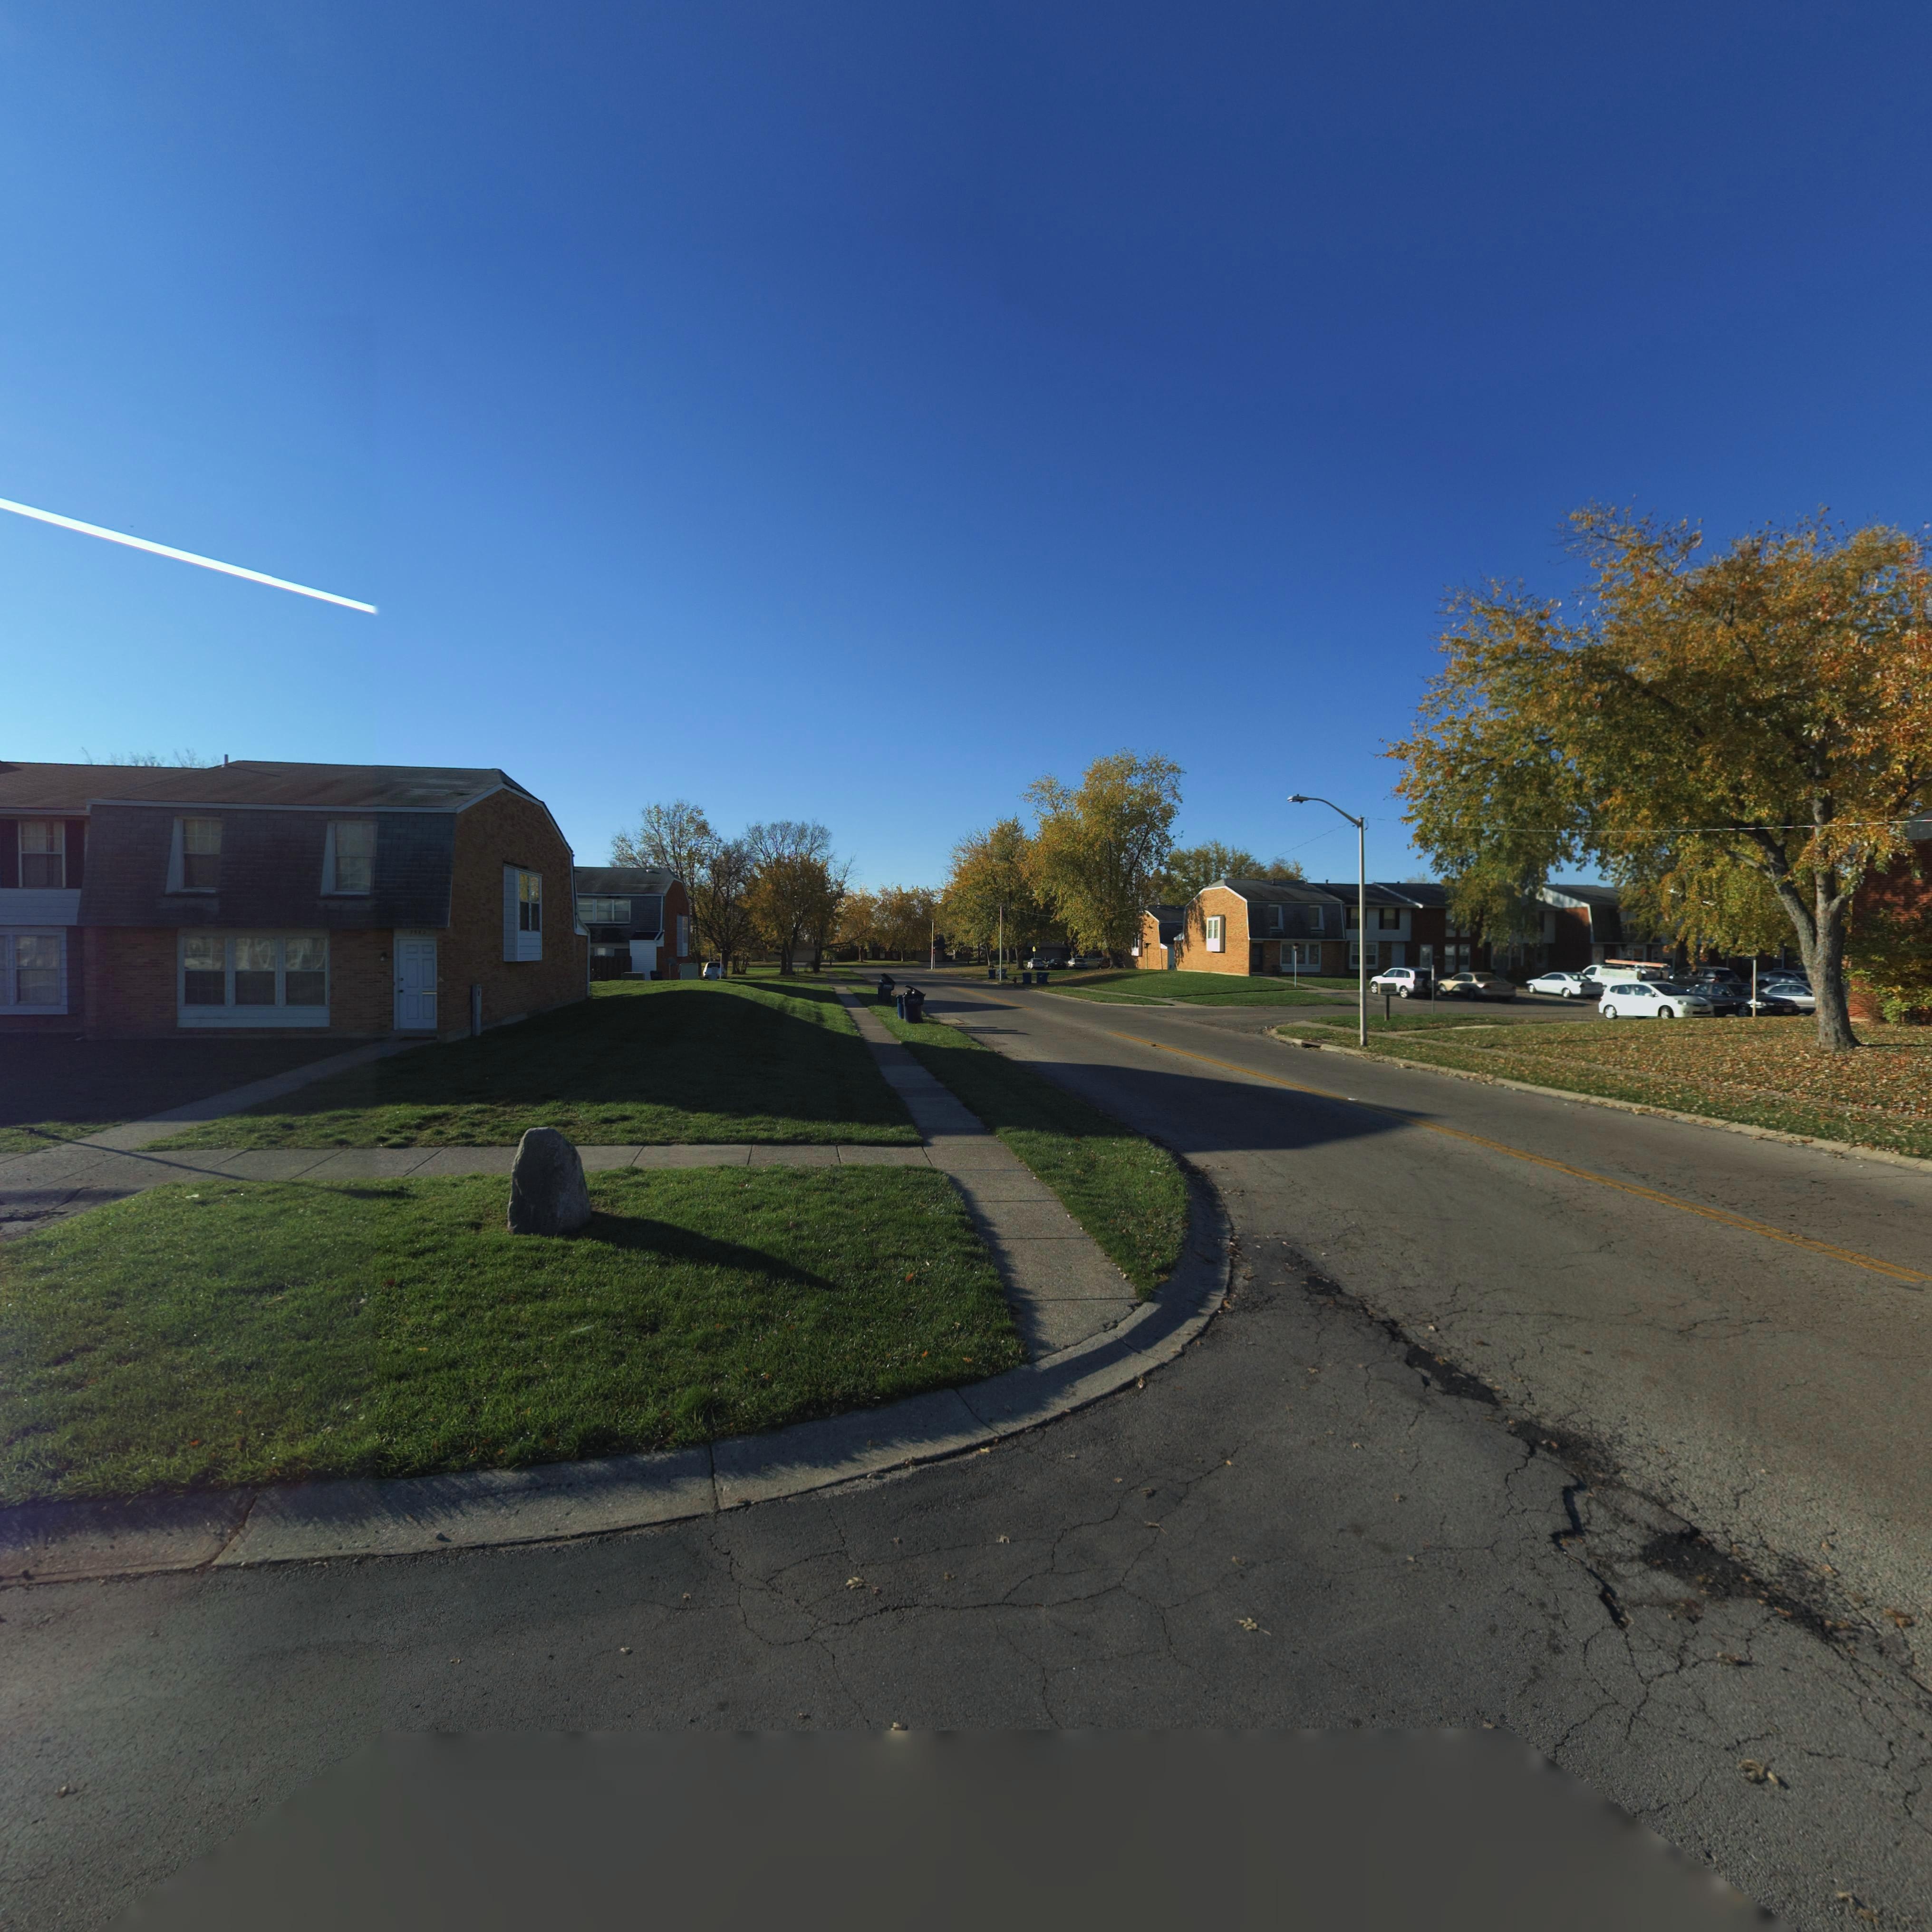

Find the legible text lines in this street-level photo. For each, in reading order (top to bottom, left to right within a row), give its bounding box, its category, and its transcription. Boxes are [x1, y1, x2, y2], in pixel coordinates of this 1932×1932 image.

[409, 929, 426, 935] StreetNumber: 7582